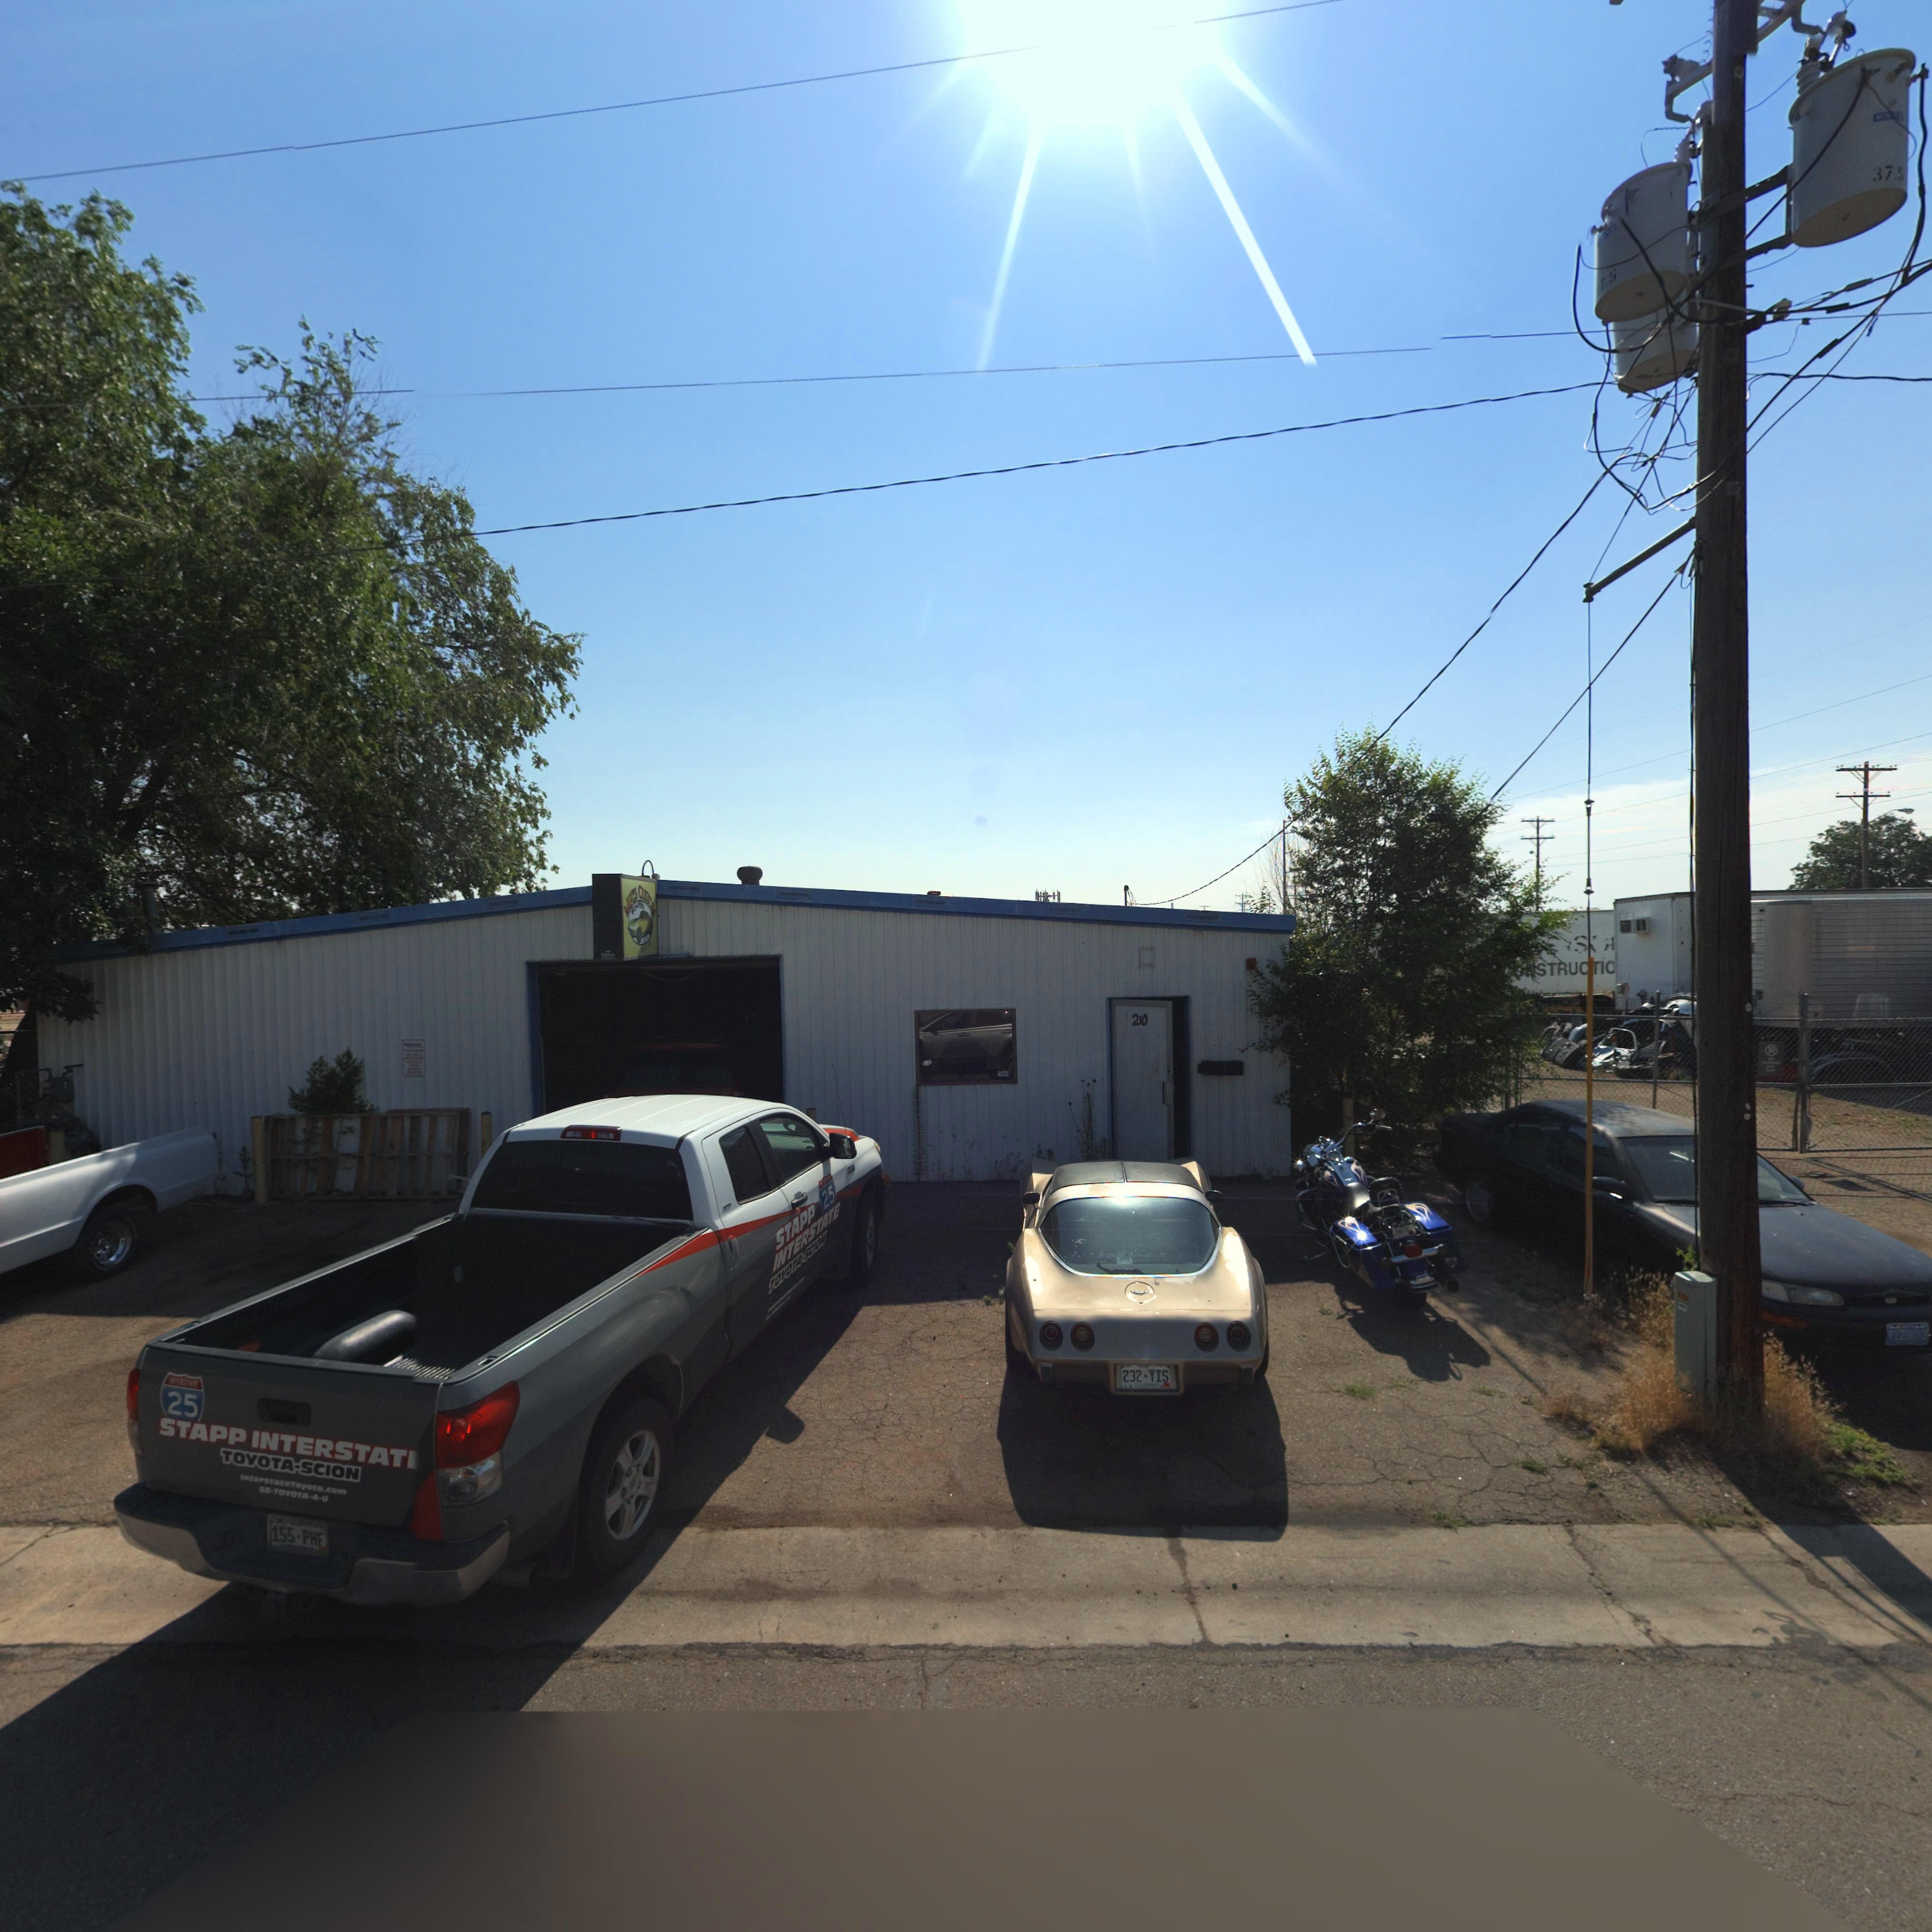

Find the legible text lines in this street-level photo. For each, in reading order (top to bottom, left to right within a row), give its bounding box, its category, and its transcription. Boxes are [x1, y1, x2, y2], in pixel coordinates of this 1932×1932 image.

[1131, 1013, 1149, 1026] StreetNumber: 210